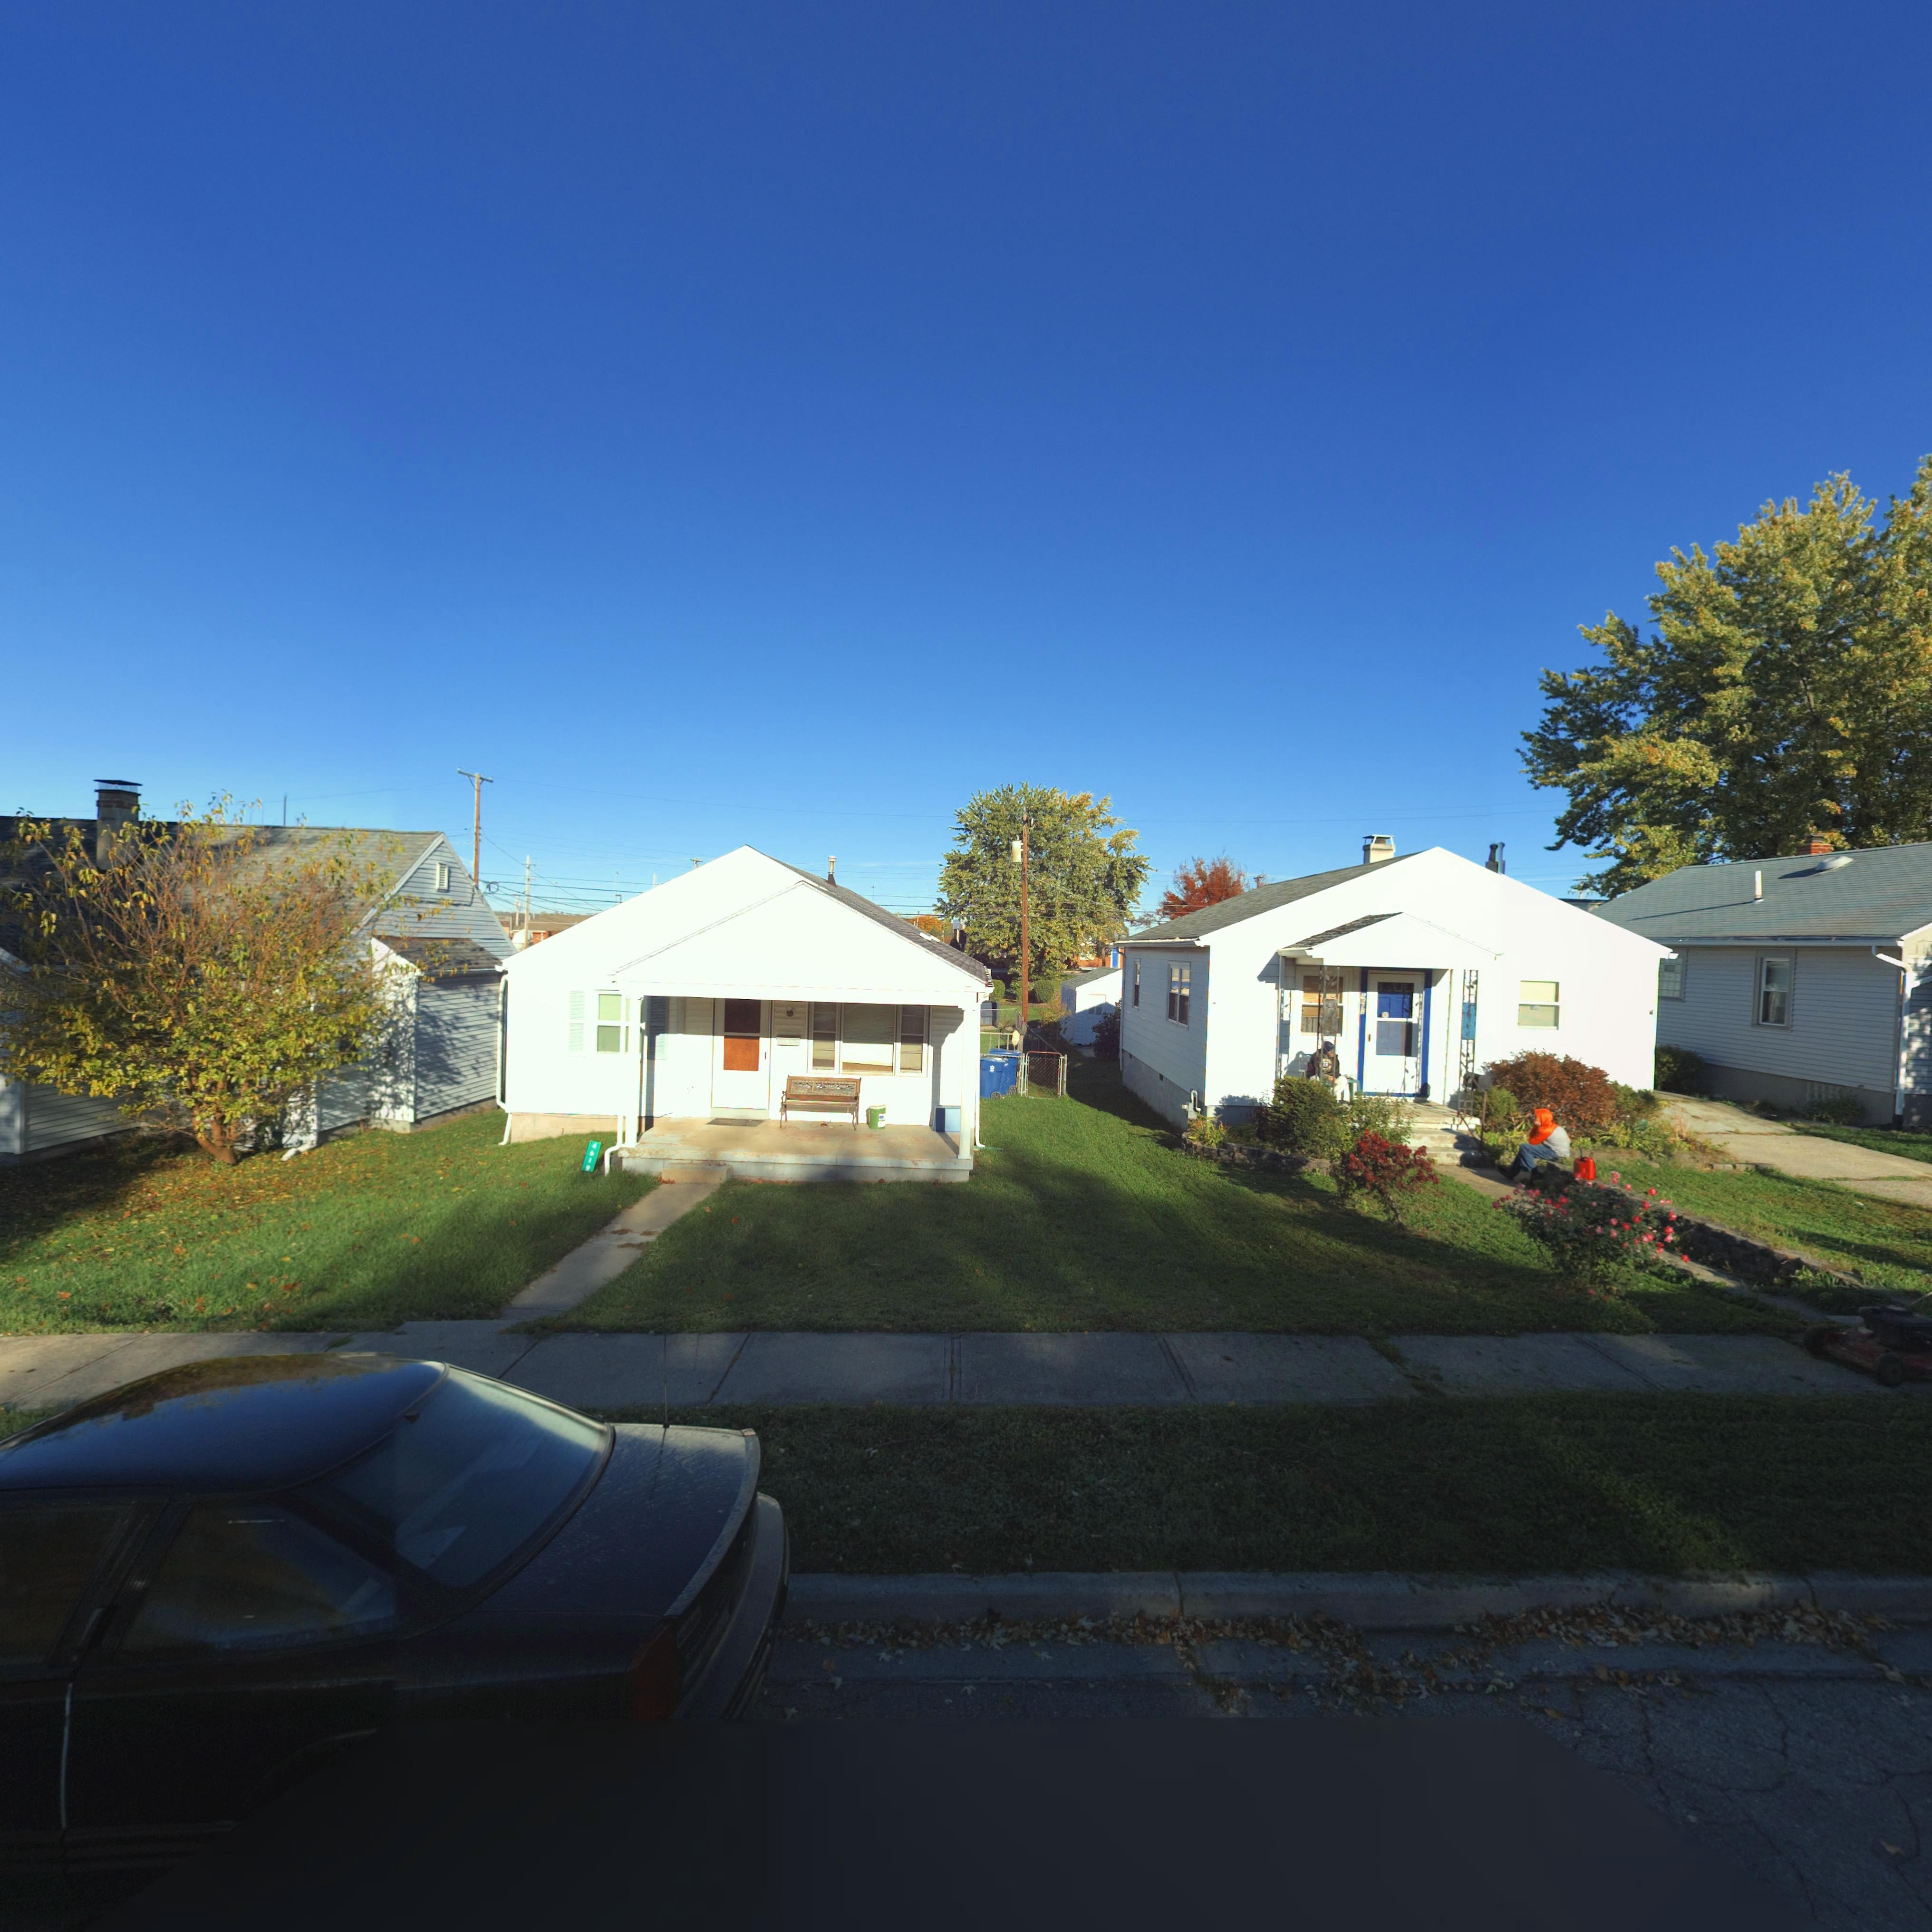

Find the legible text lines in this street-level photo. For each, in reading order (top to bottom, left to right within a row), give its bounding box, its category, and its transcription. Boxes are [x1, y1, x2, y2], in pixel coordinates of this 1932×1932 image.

[584, 1141, 599, 1172] StreetNumber: 4619